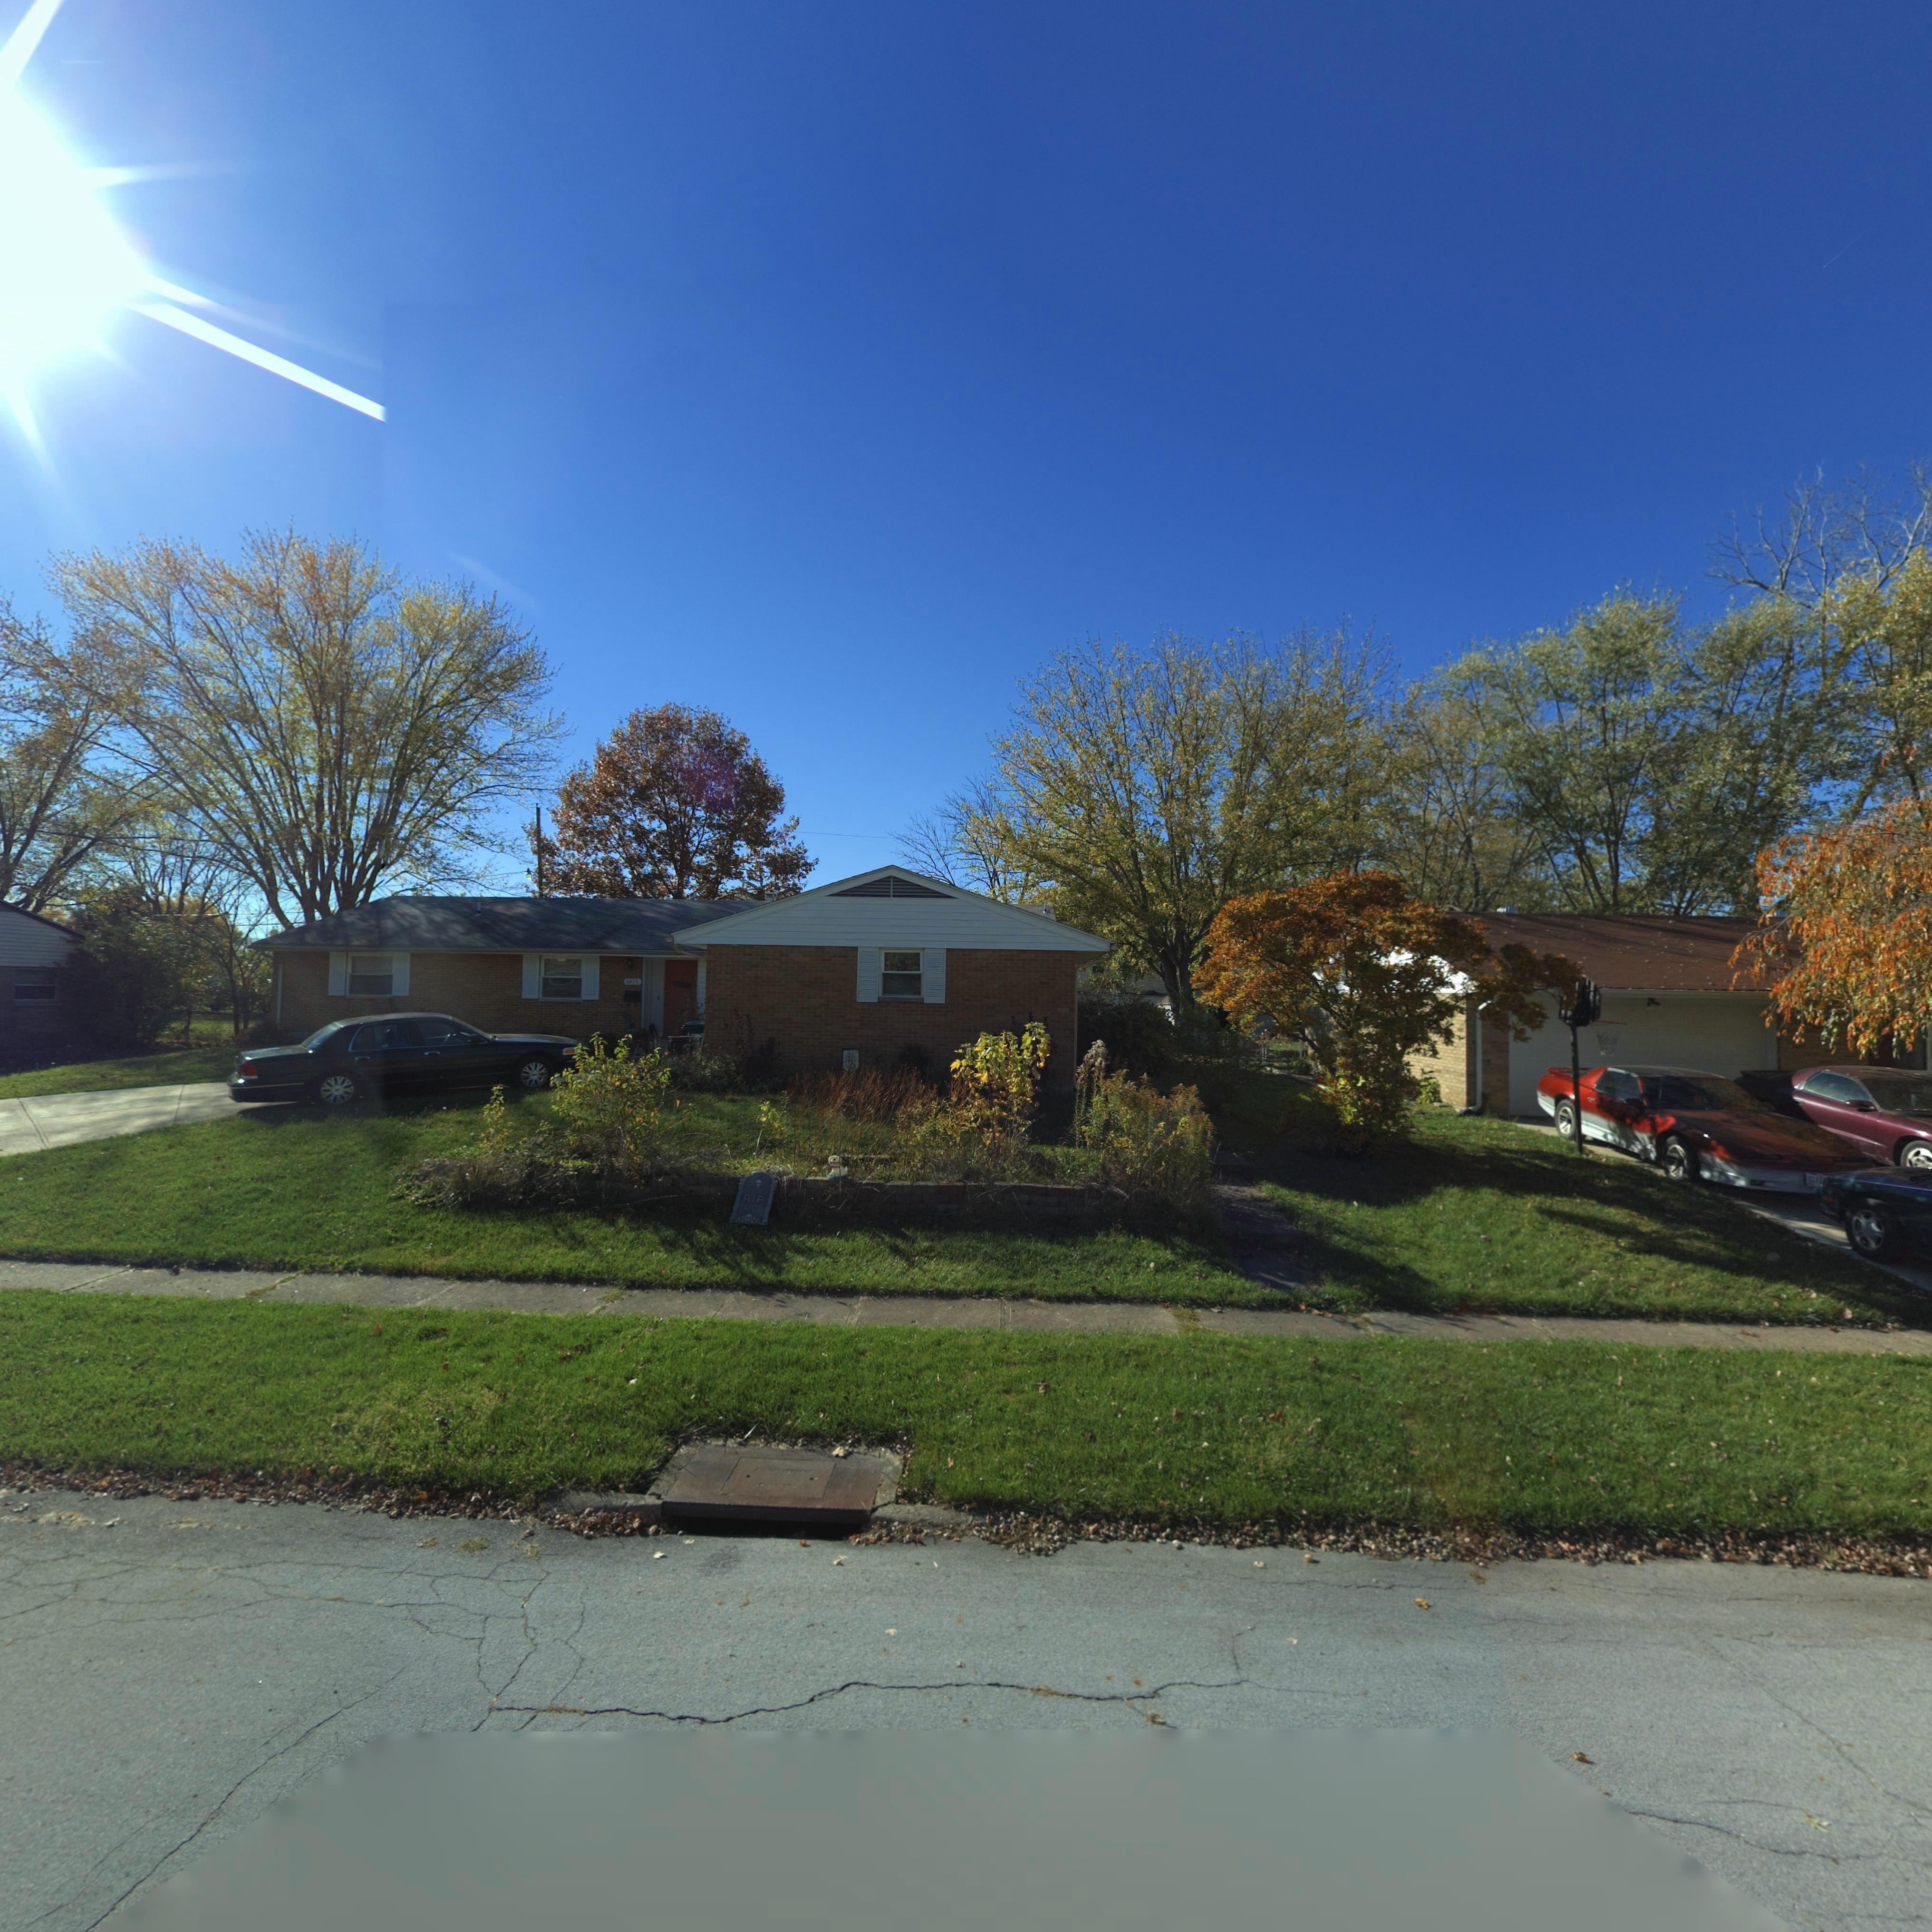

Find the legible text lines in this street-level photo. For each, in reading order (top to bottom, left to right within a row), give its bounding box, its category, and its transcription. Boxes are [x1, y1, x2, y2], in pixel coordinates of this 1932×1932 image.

[626, 979, 638, 984] StreetNumber: 6823